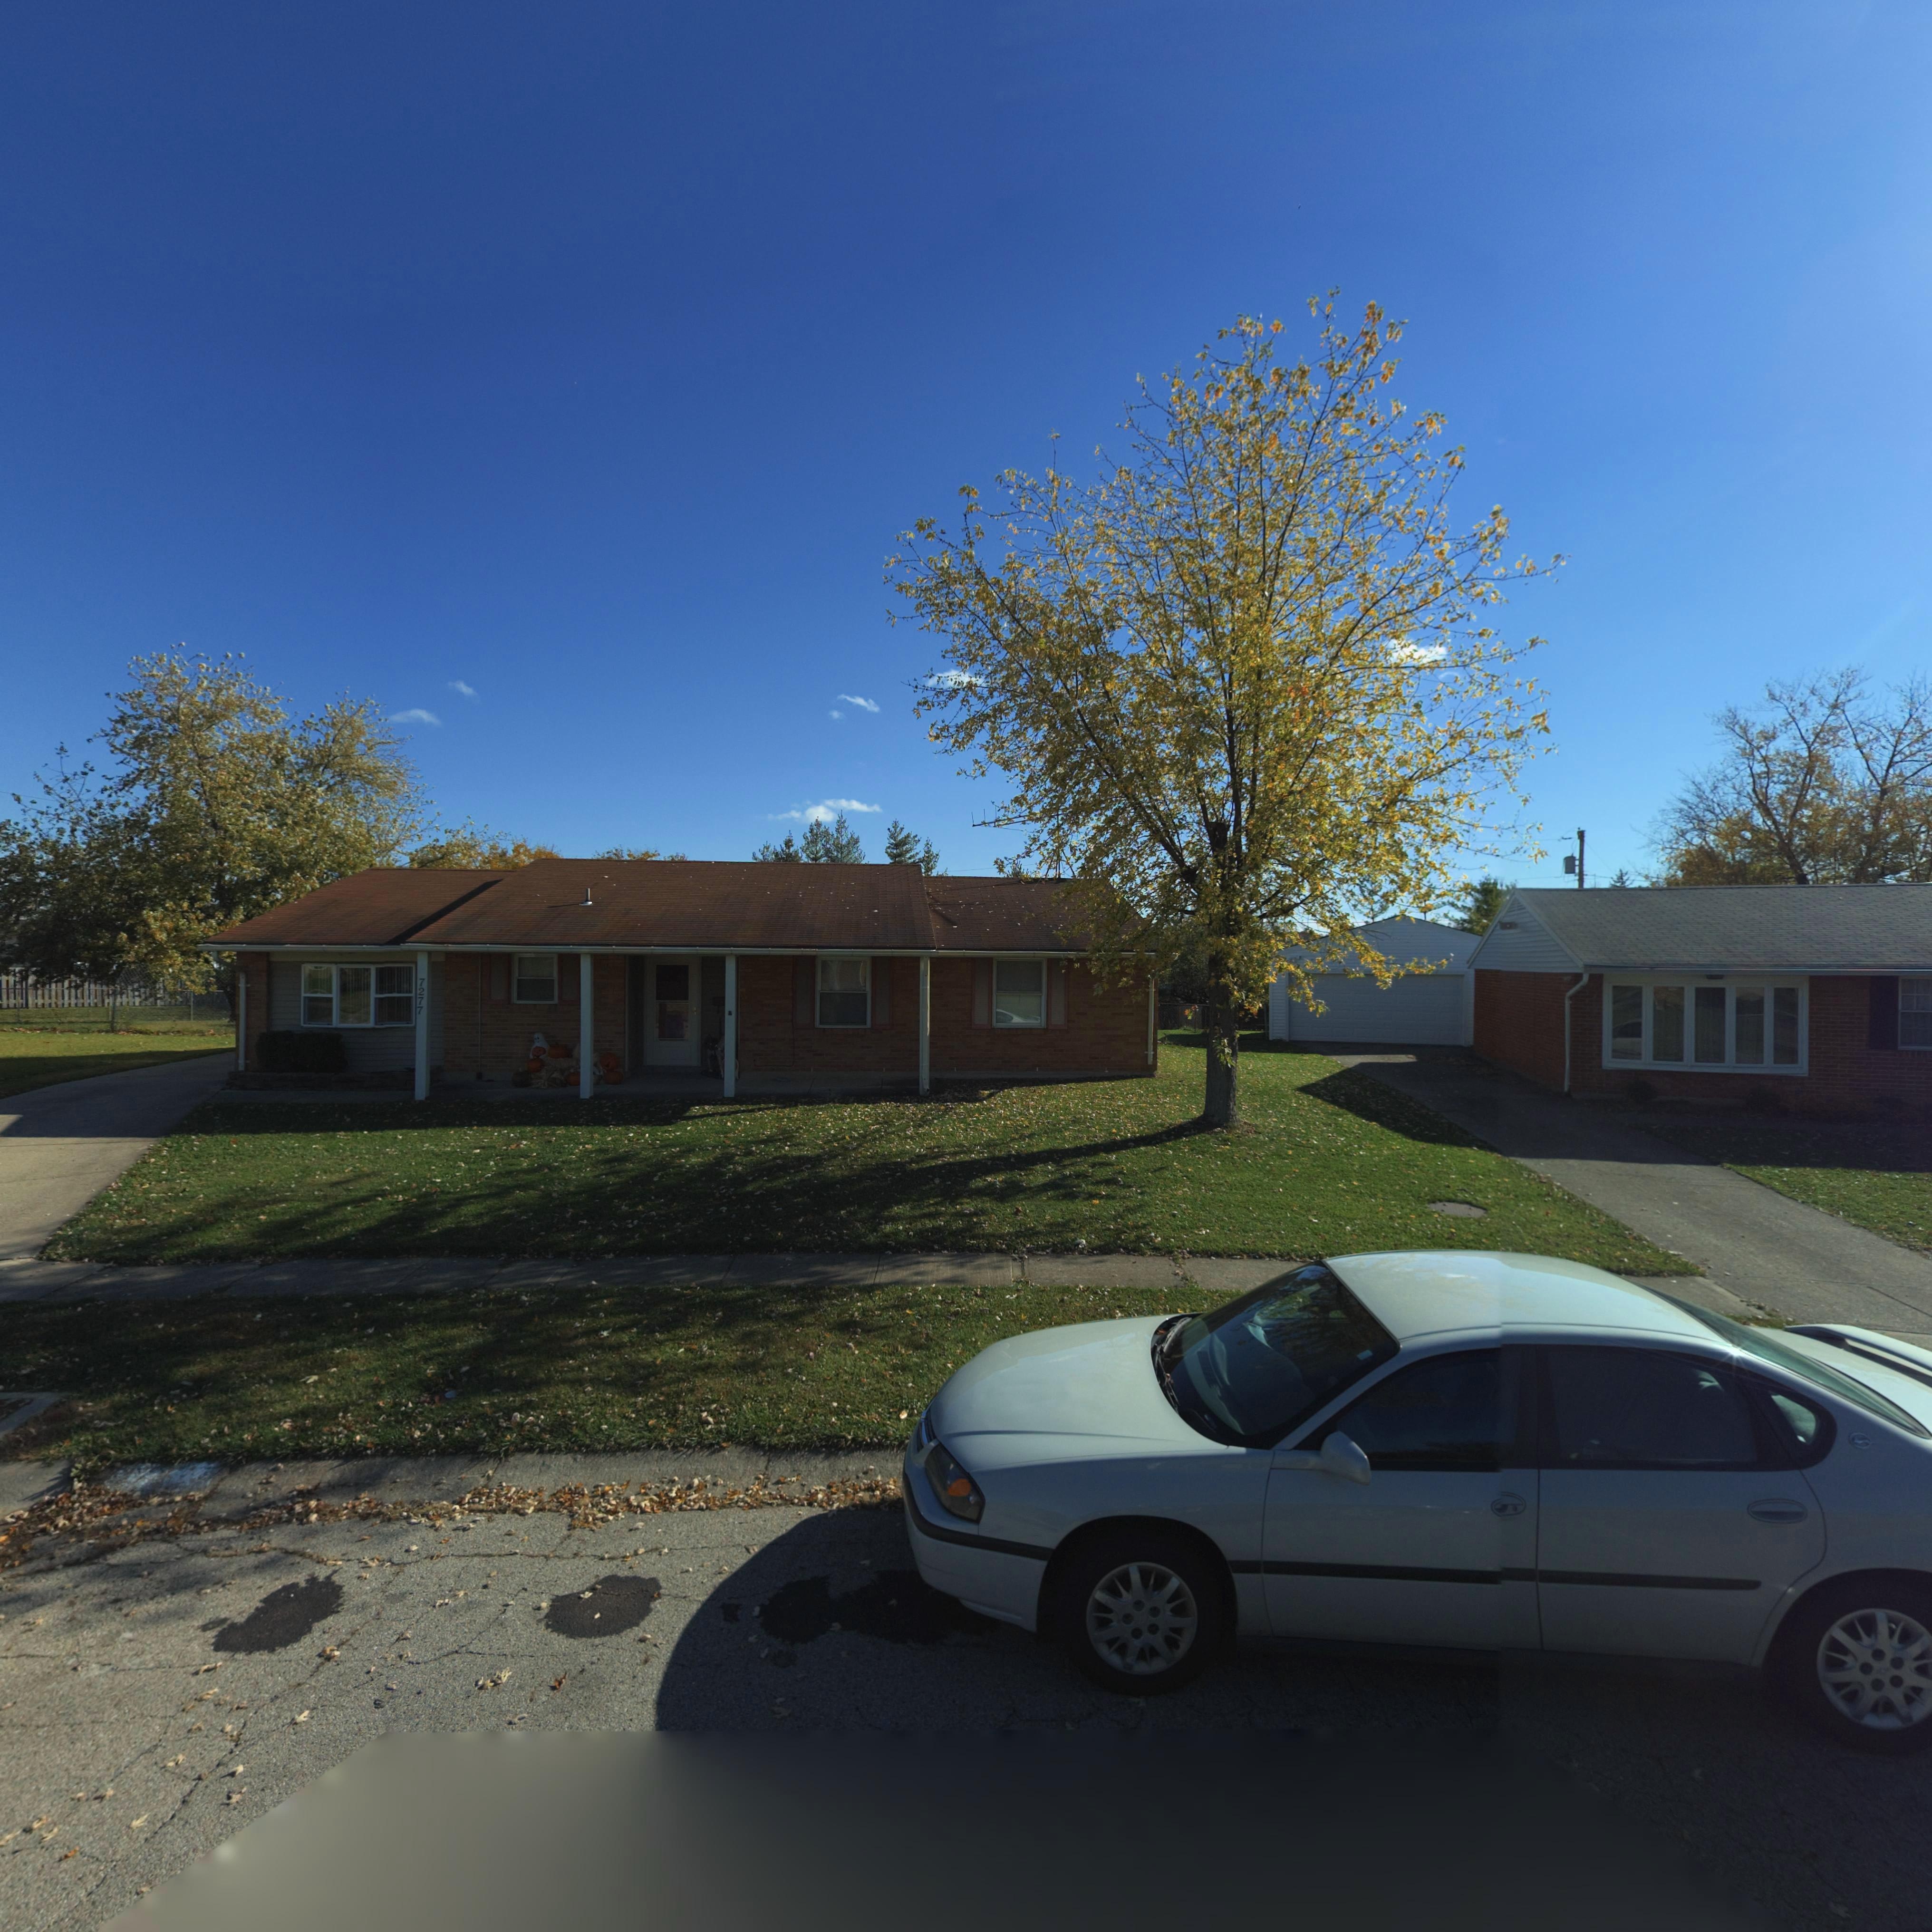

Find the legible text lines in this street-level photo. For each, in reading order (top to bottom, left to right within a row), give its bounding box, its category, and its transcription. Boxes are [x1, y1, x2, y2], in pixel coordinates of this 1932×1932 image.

[415, 977, 426, 1016] StreetNumber: 7277